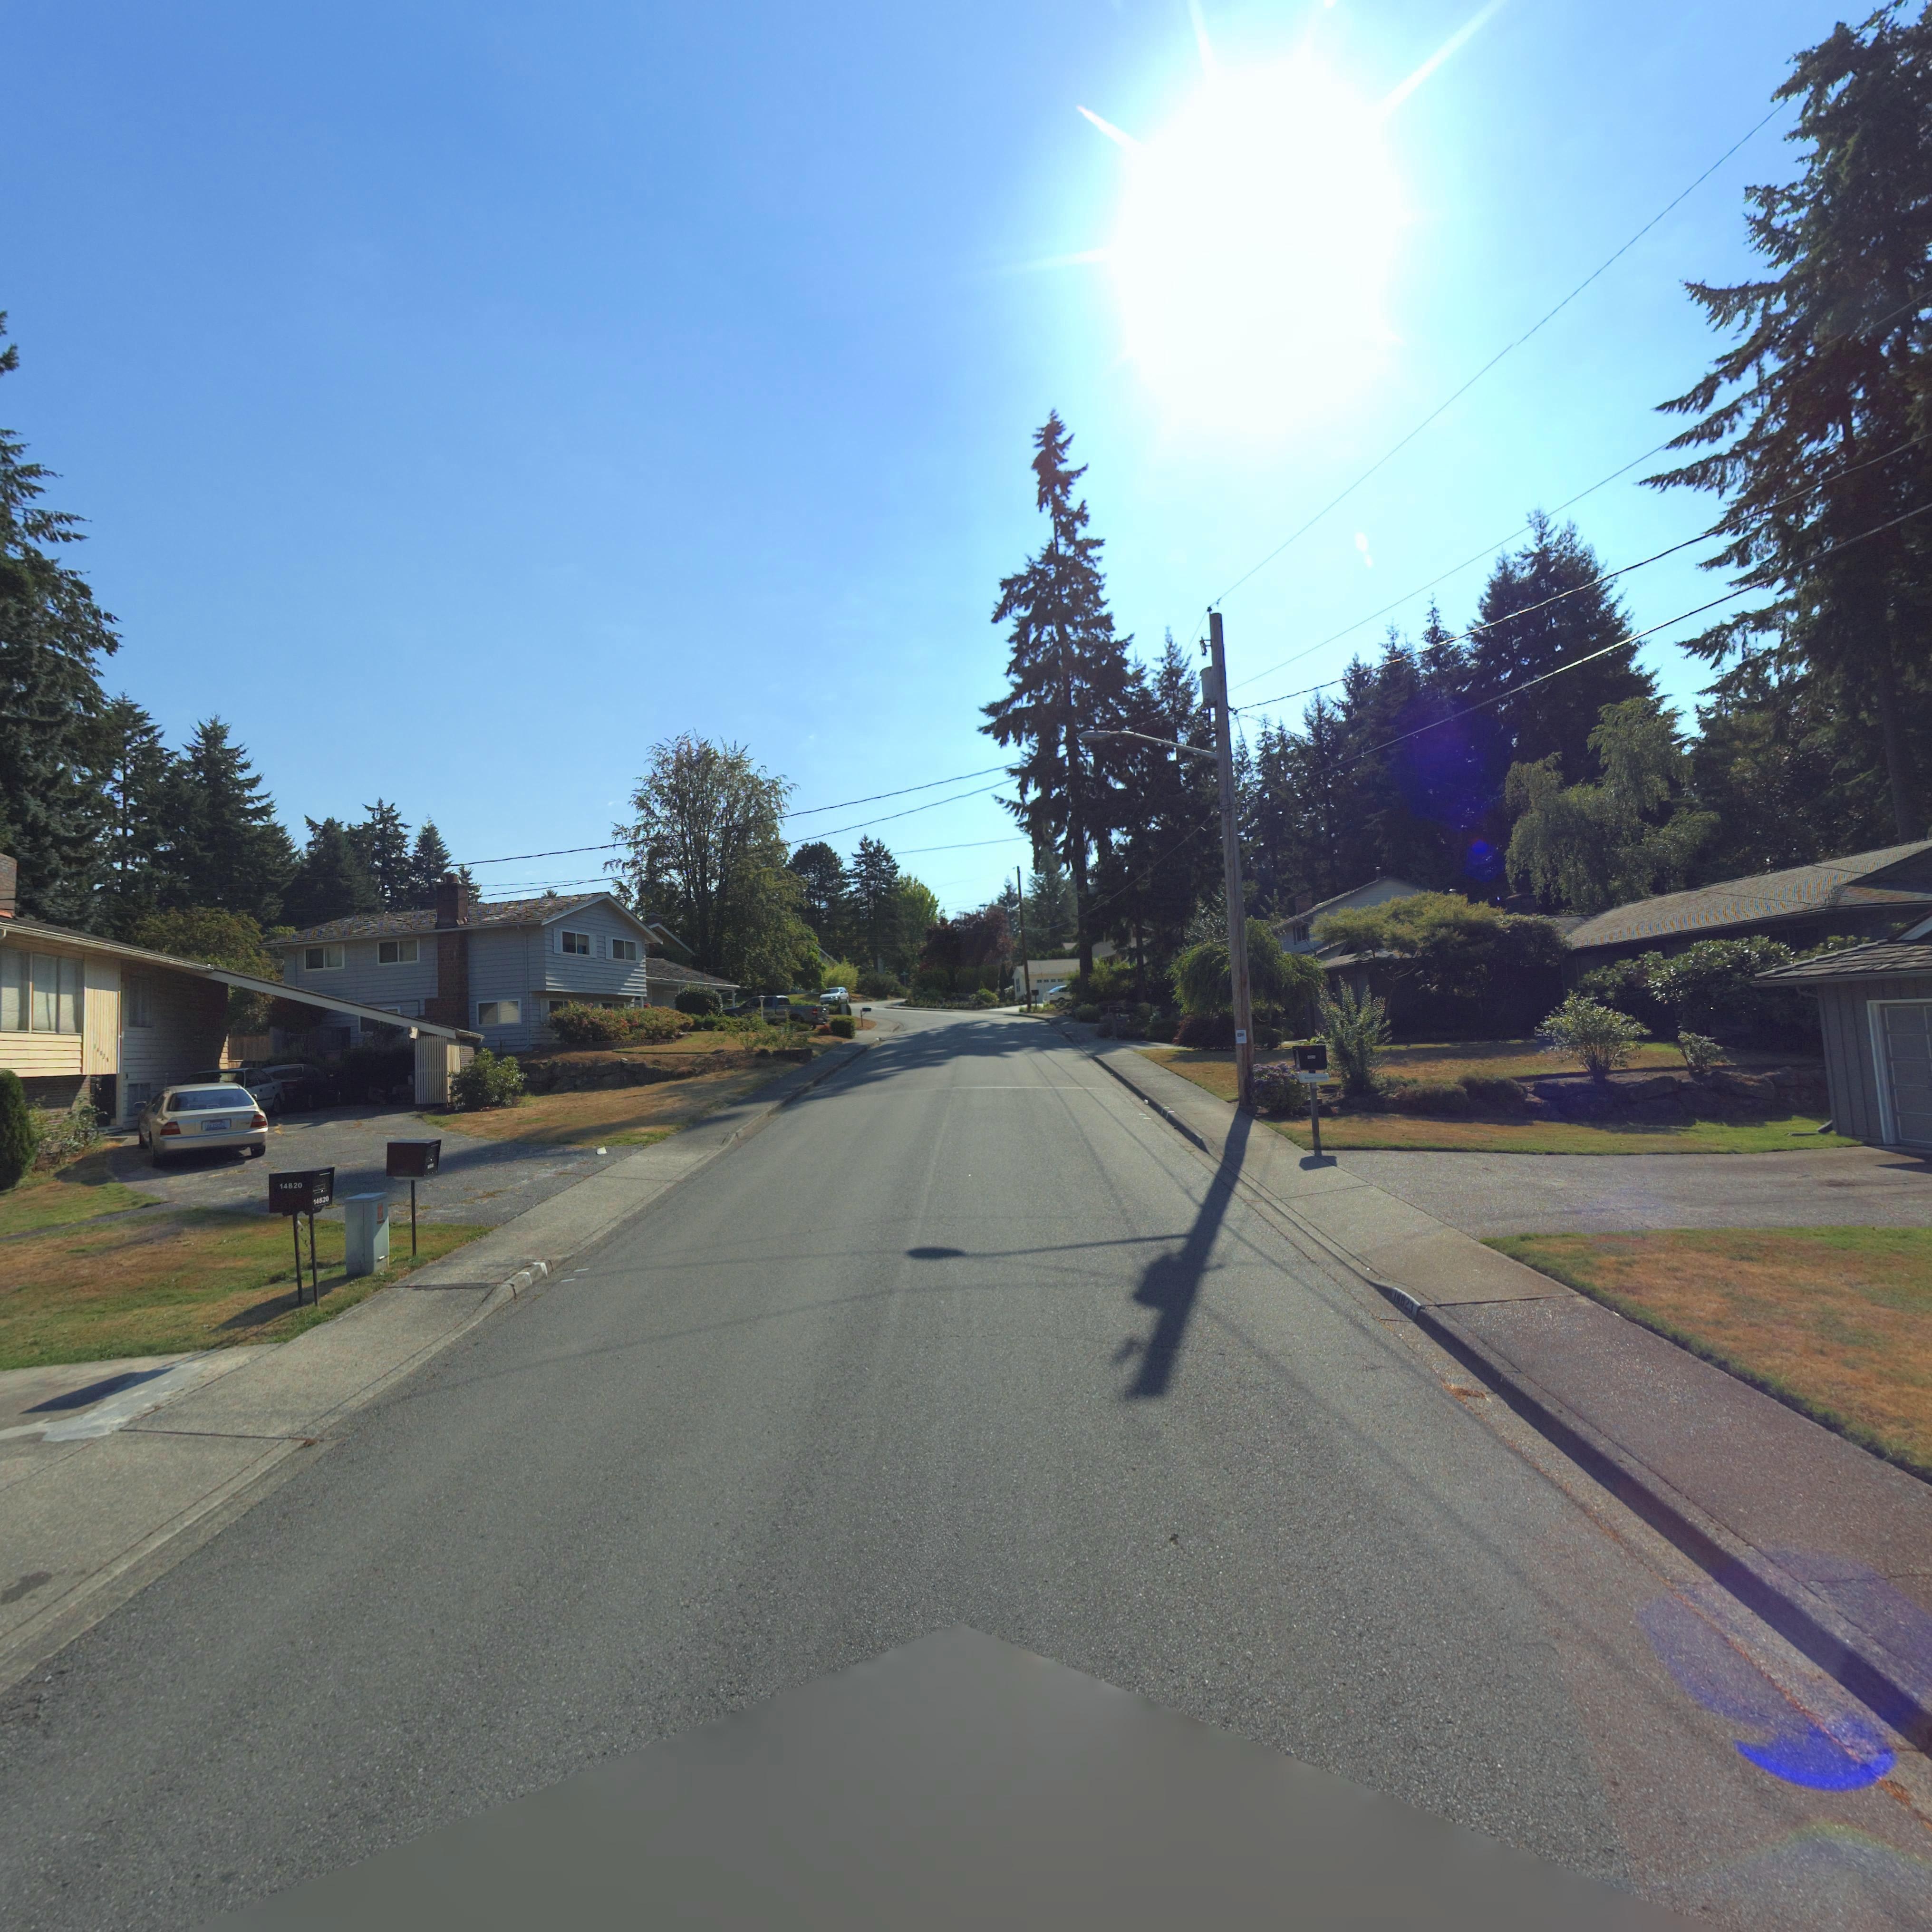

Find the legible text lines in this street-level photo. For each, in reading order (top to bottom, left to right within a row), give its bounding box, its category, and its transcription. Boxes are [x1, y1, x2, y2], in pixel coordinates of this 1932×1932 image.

[280, 1183, 302, 1189] StreetNumber: 14820
[312, 1194, 329, 1205] StreetNumber: 14820
[1392, 1289, 1415, 1315] StreetNumber: 14823